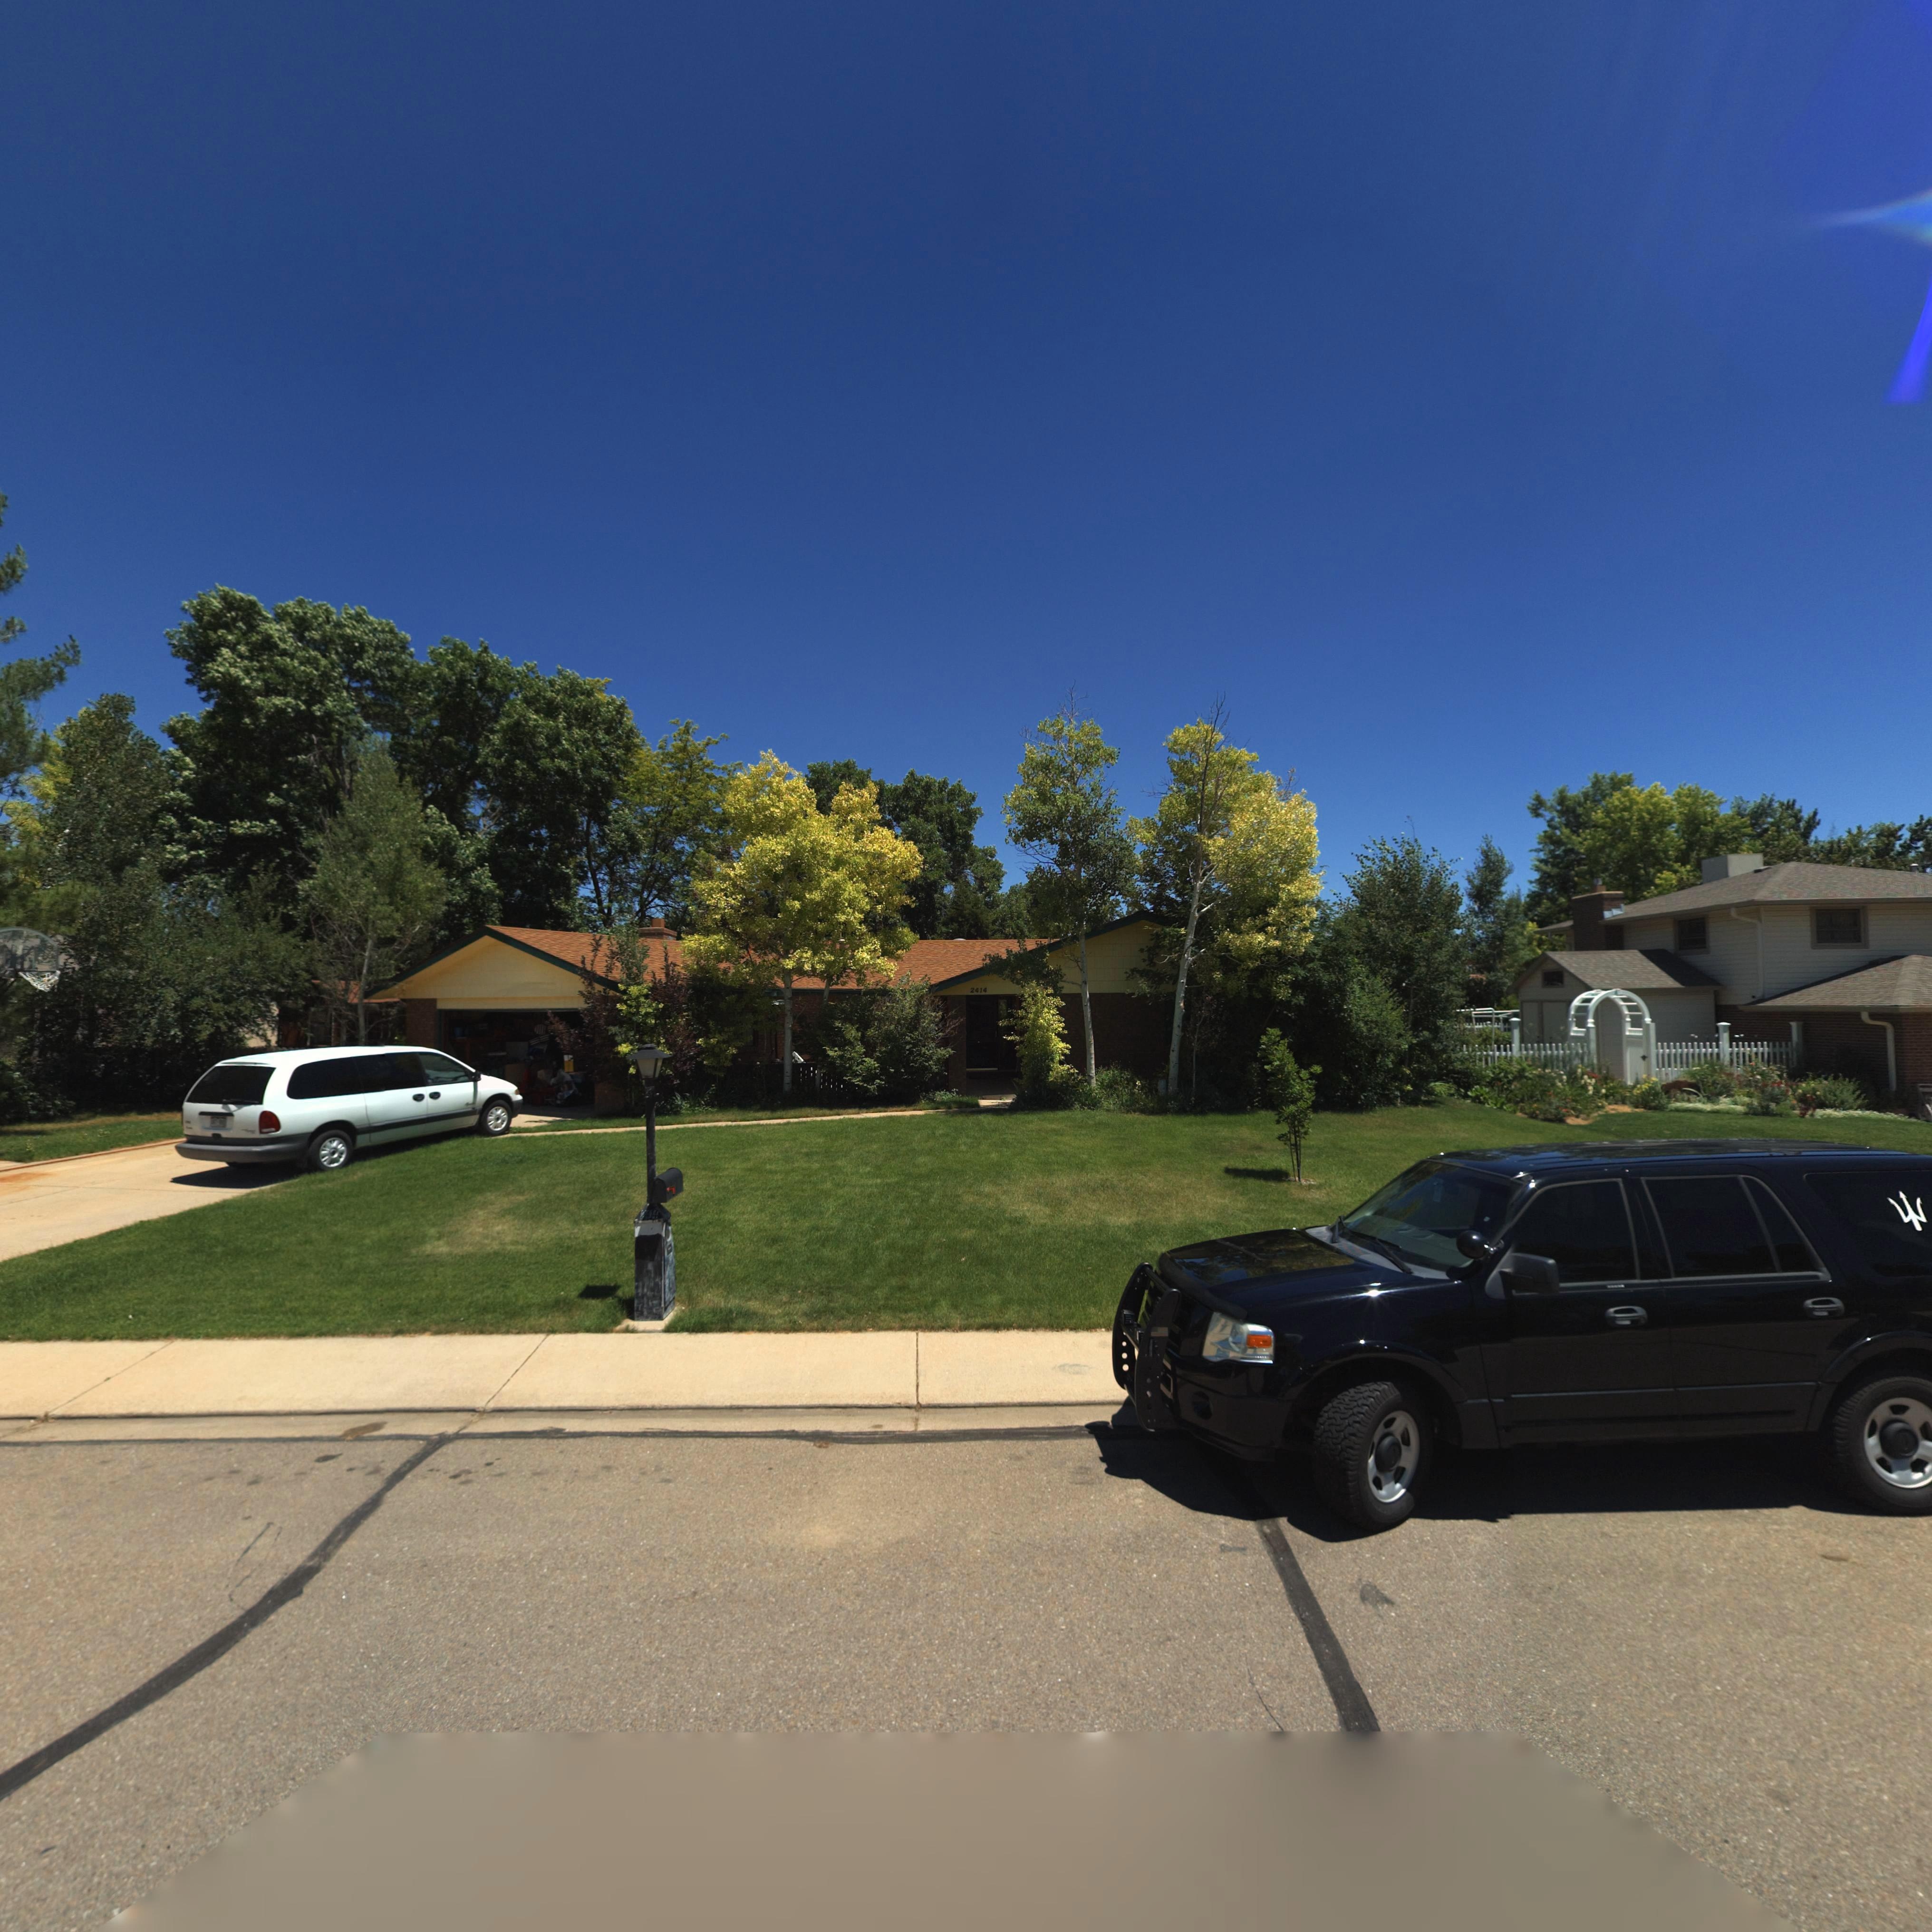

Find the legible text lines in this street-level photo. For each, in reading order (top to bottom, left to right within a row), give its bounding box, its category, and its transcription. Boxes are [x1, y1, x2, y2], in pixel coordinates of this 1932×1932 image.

[970, 987, 986, 993] StreetNumber: 2414